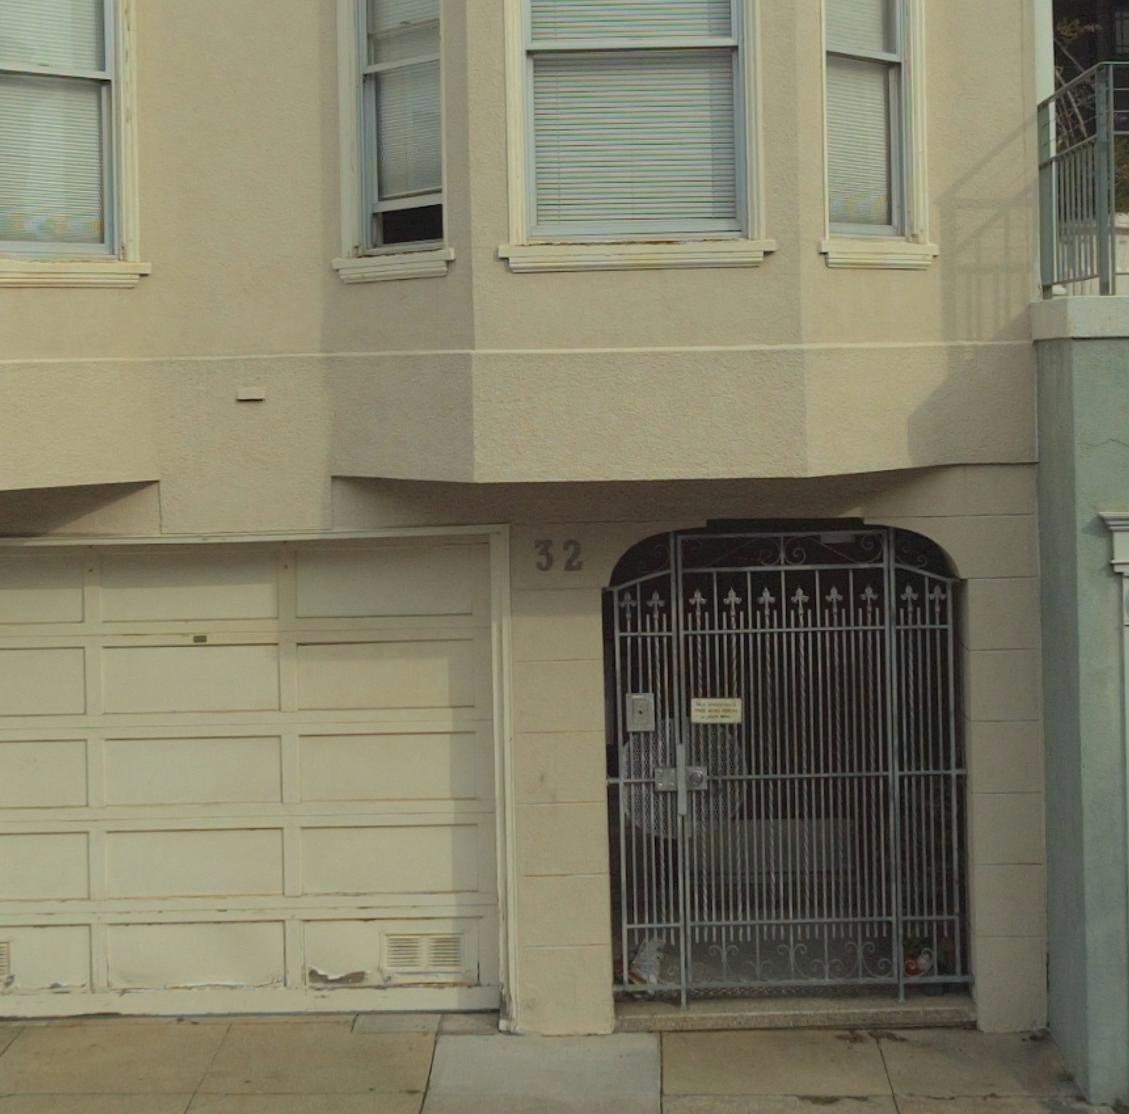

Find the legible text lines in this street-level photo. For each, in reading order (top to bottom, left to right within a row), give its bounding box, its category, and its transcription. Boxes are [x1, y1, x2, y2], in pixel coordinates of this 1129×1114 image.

[532, 538, 585, 573] StreetNumber: 32